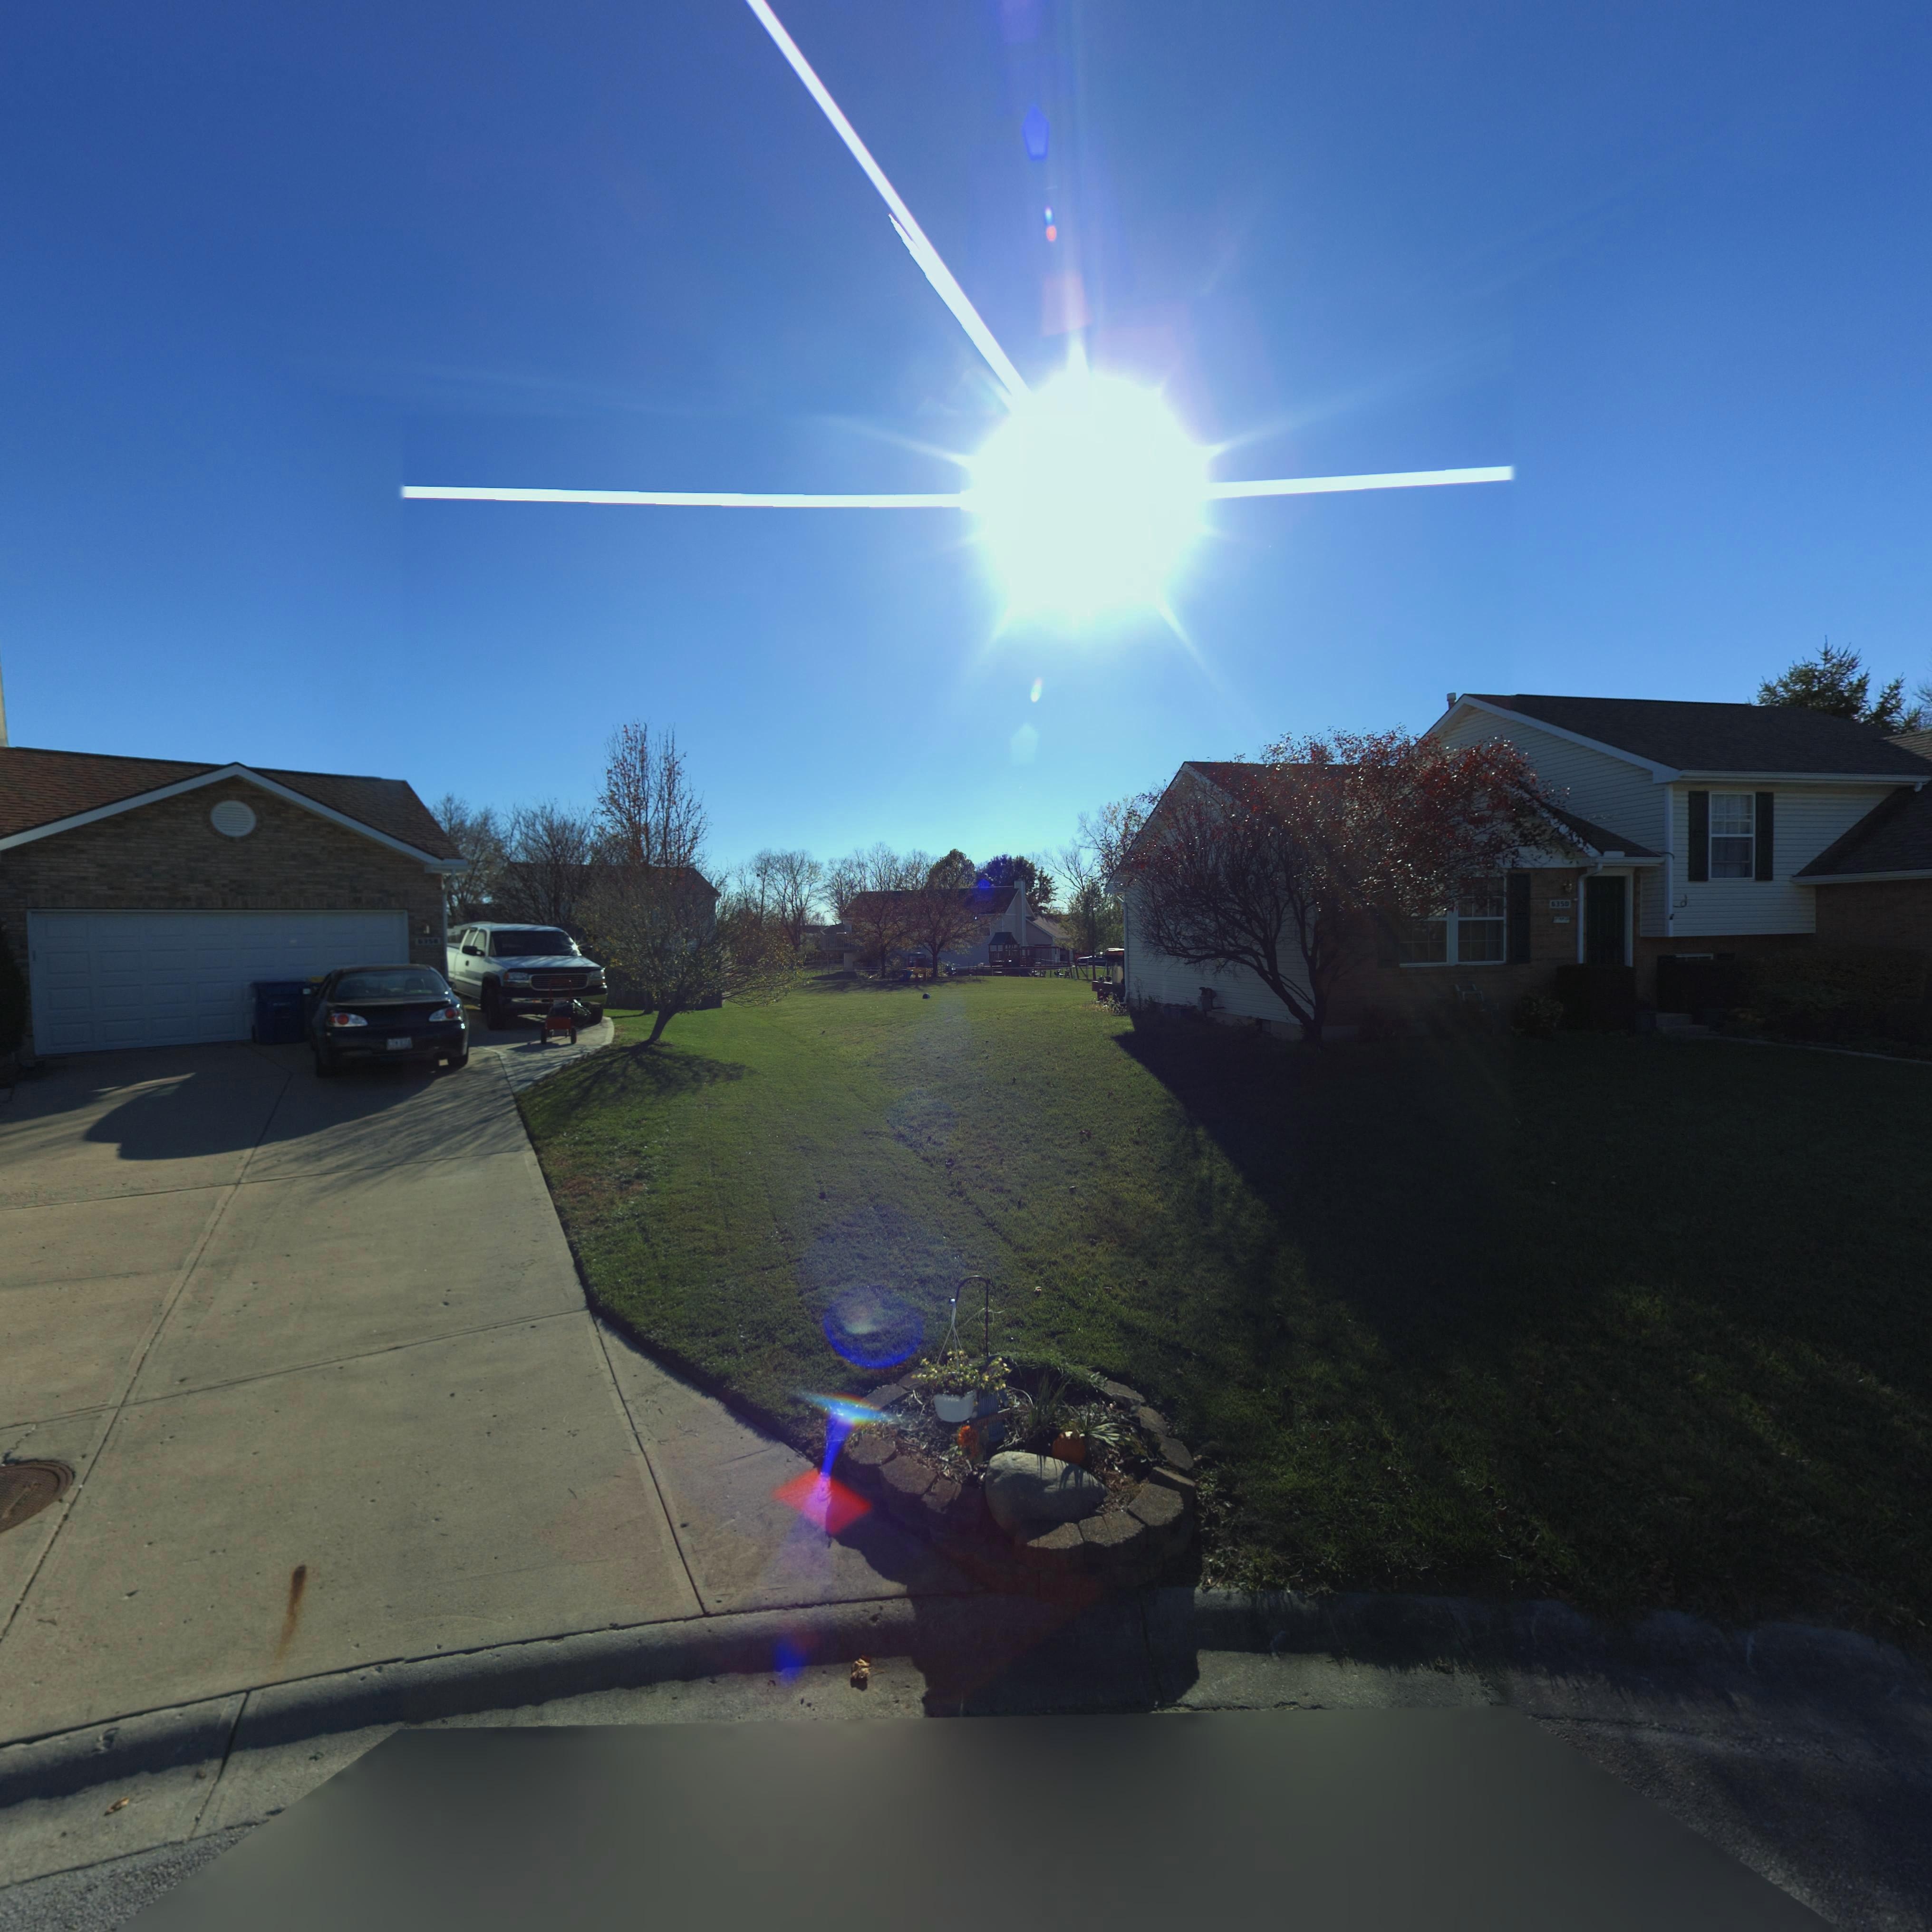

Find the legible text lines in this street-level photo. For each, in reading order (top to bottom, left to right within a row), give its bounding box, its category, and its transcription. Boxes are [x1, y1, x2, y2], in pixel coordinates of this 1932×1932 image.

[1550, 900, 1570, 908] StreetNumber: 6350
[417, 938, 439, 945] StreetNumber: 6358